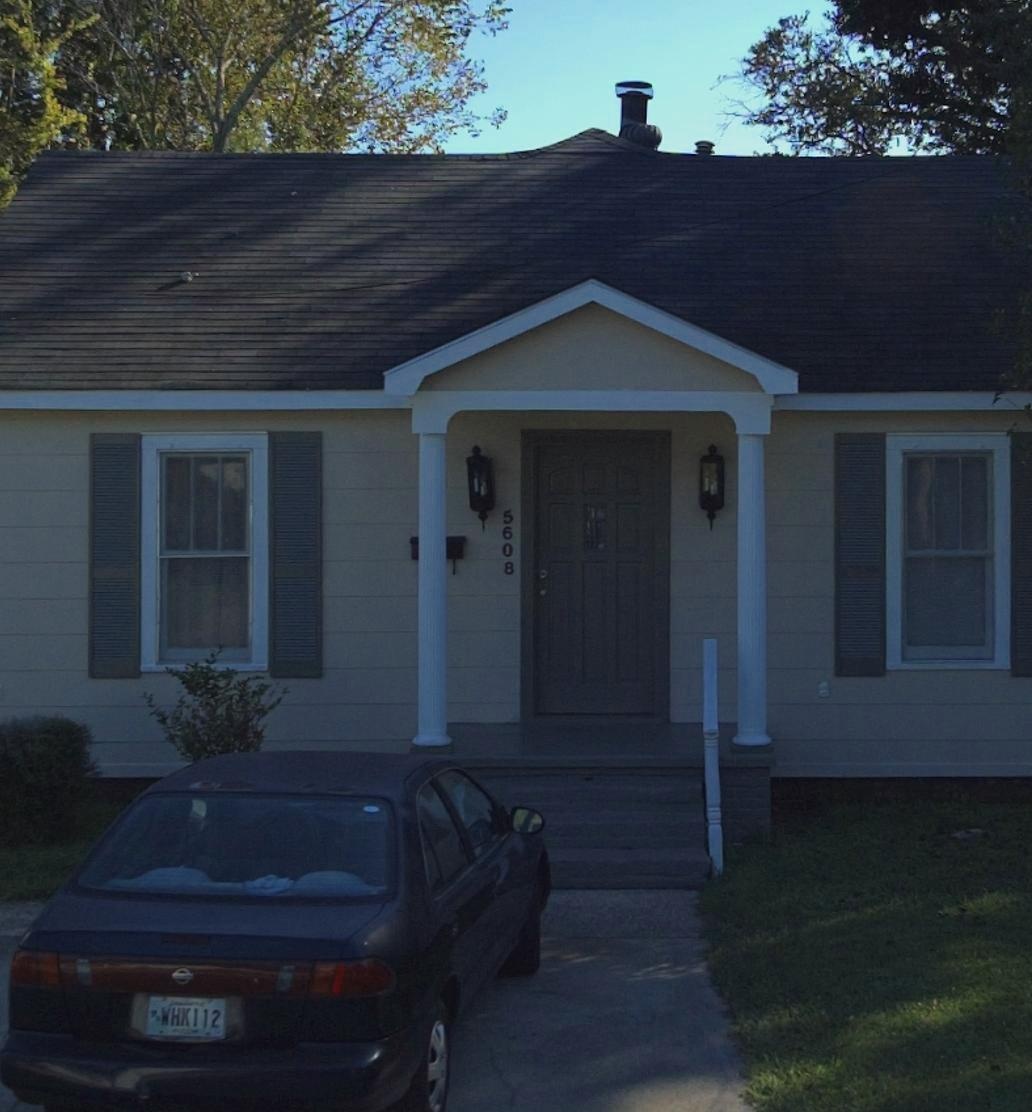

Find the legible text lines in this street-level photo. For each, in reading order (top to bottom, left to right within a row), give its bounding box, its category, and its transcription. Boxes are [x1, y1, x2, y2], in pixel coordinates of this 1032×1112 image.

[500, 507, 516, 576] StreetNumber: 5608
[158, 1005, 222, 1030] None: WHK112